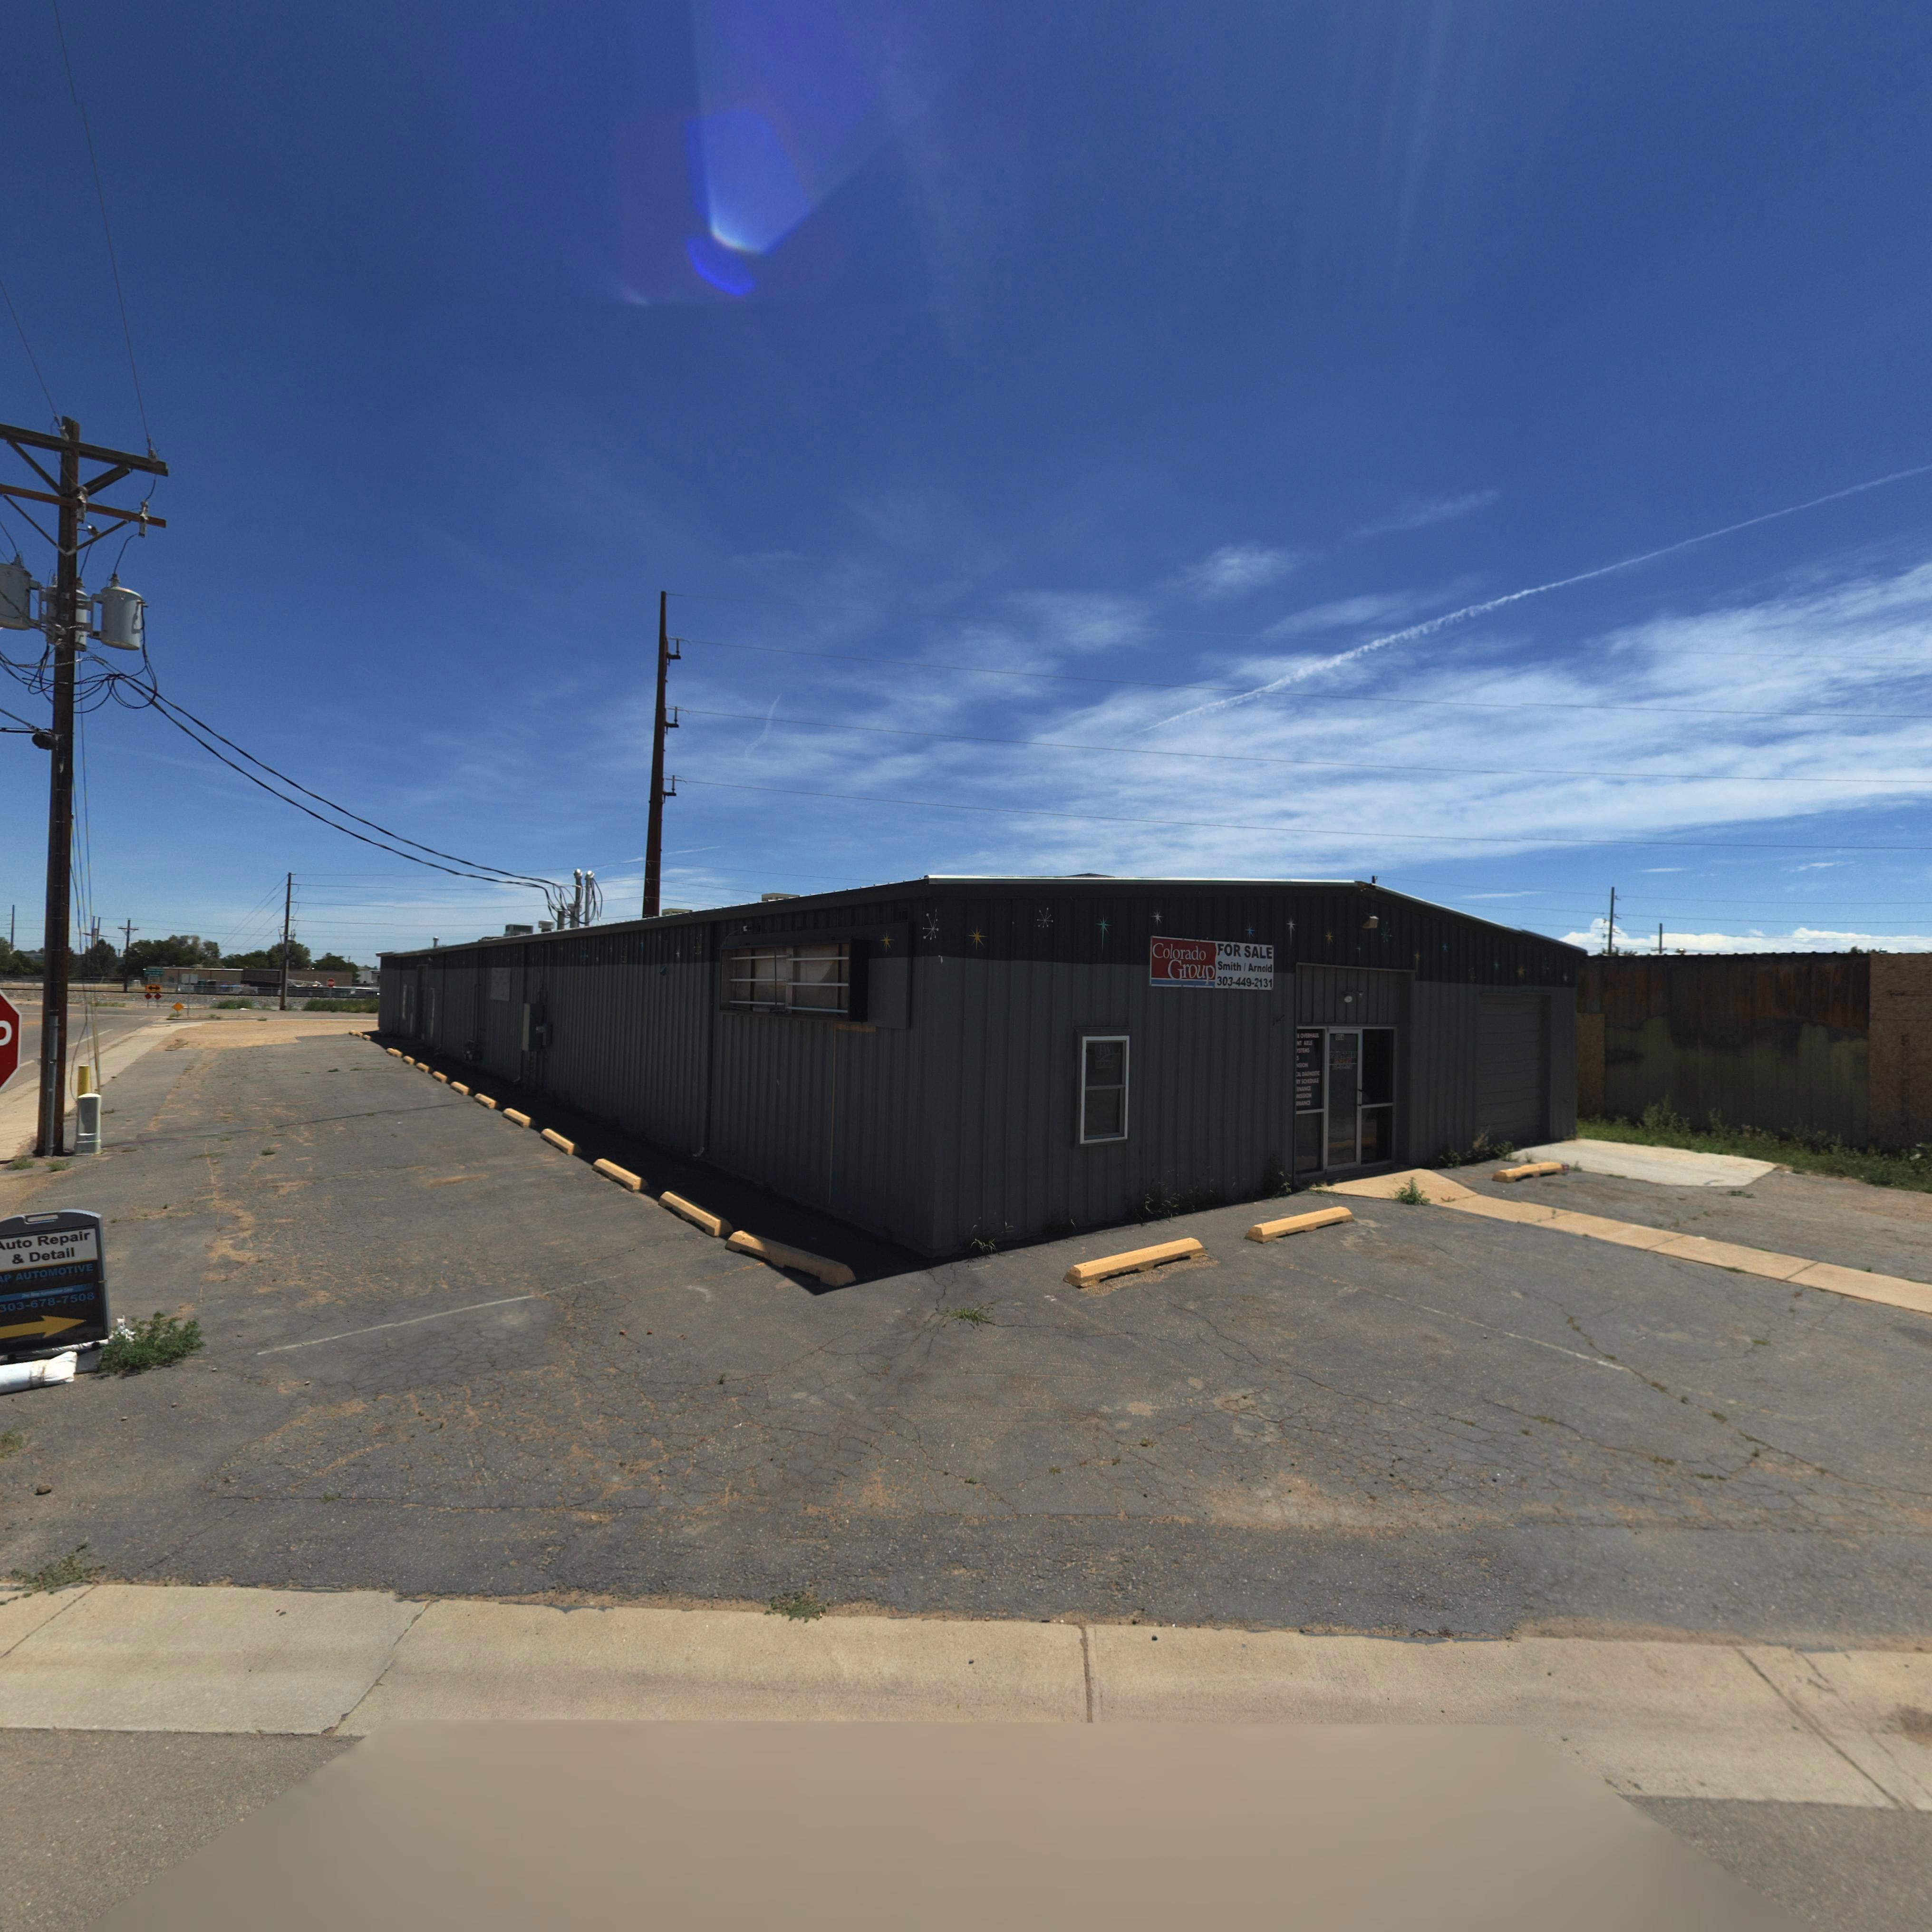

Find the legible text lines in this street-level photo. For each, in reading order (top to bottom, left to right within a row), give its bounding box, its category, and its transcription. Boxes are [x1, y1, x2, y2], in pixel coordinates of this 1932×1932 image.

[1334, 1034, 1344, 1040] StreetNumber: *00A
[1328, 1051, 1357, 1060] BusinessName: **** ST*EE*